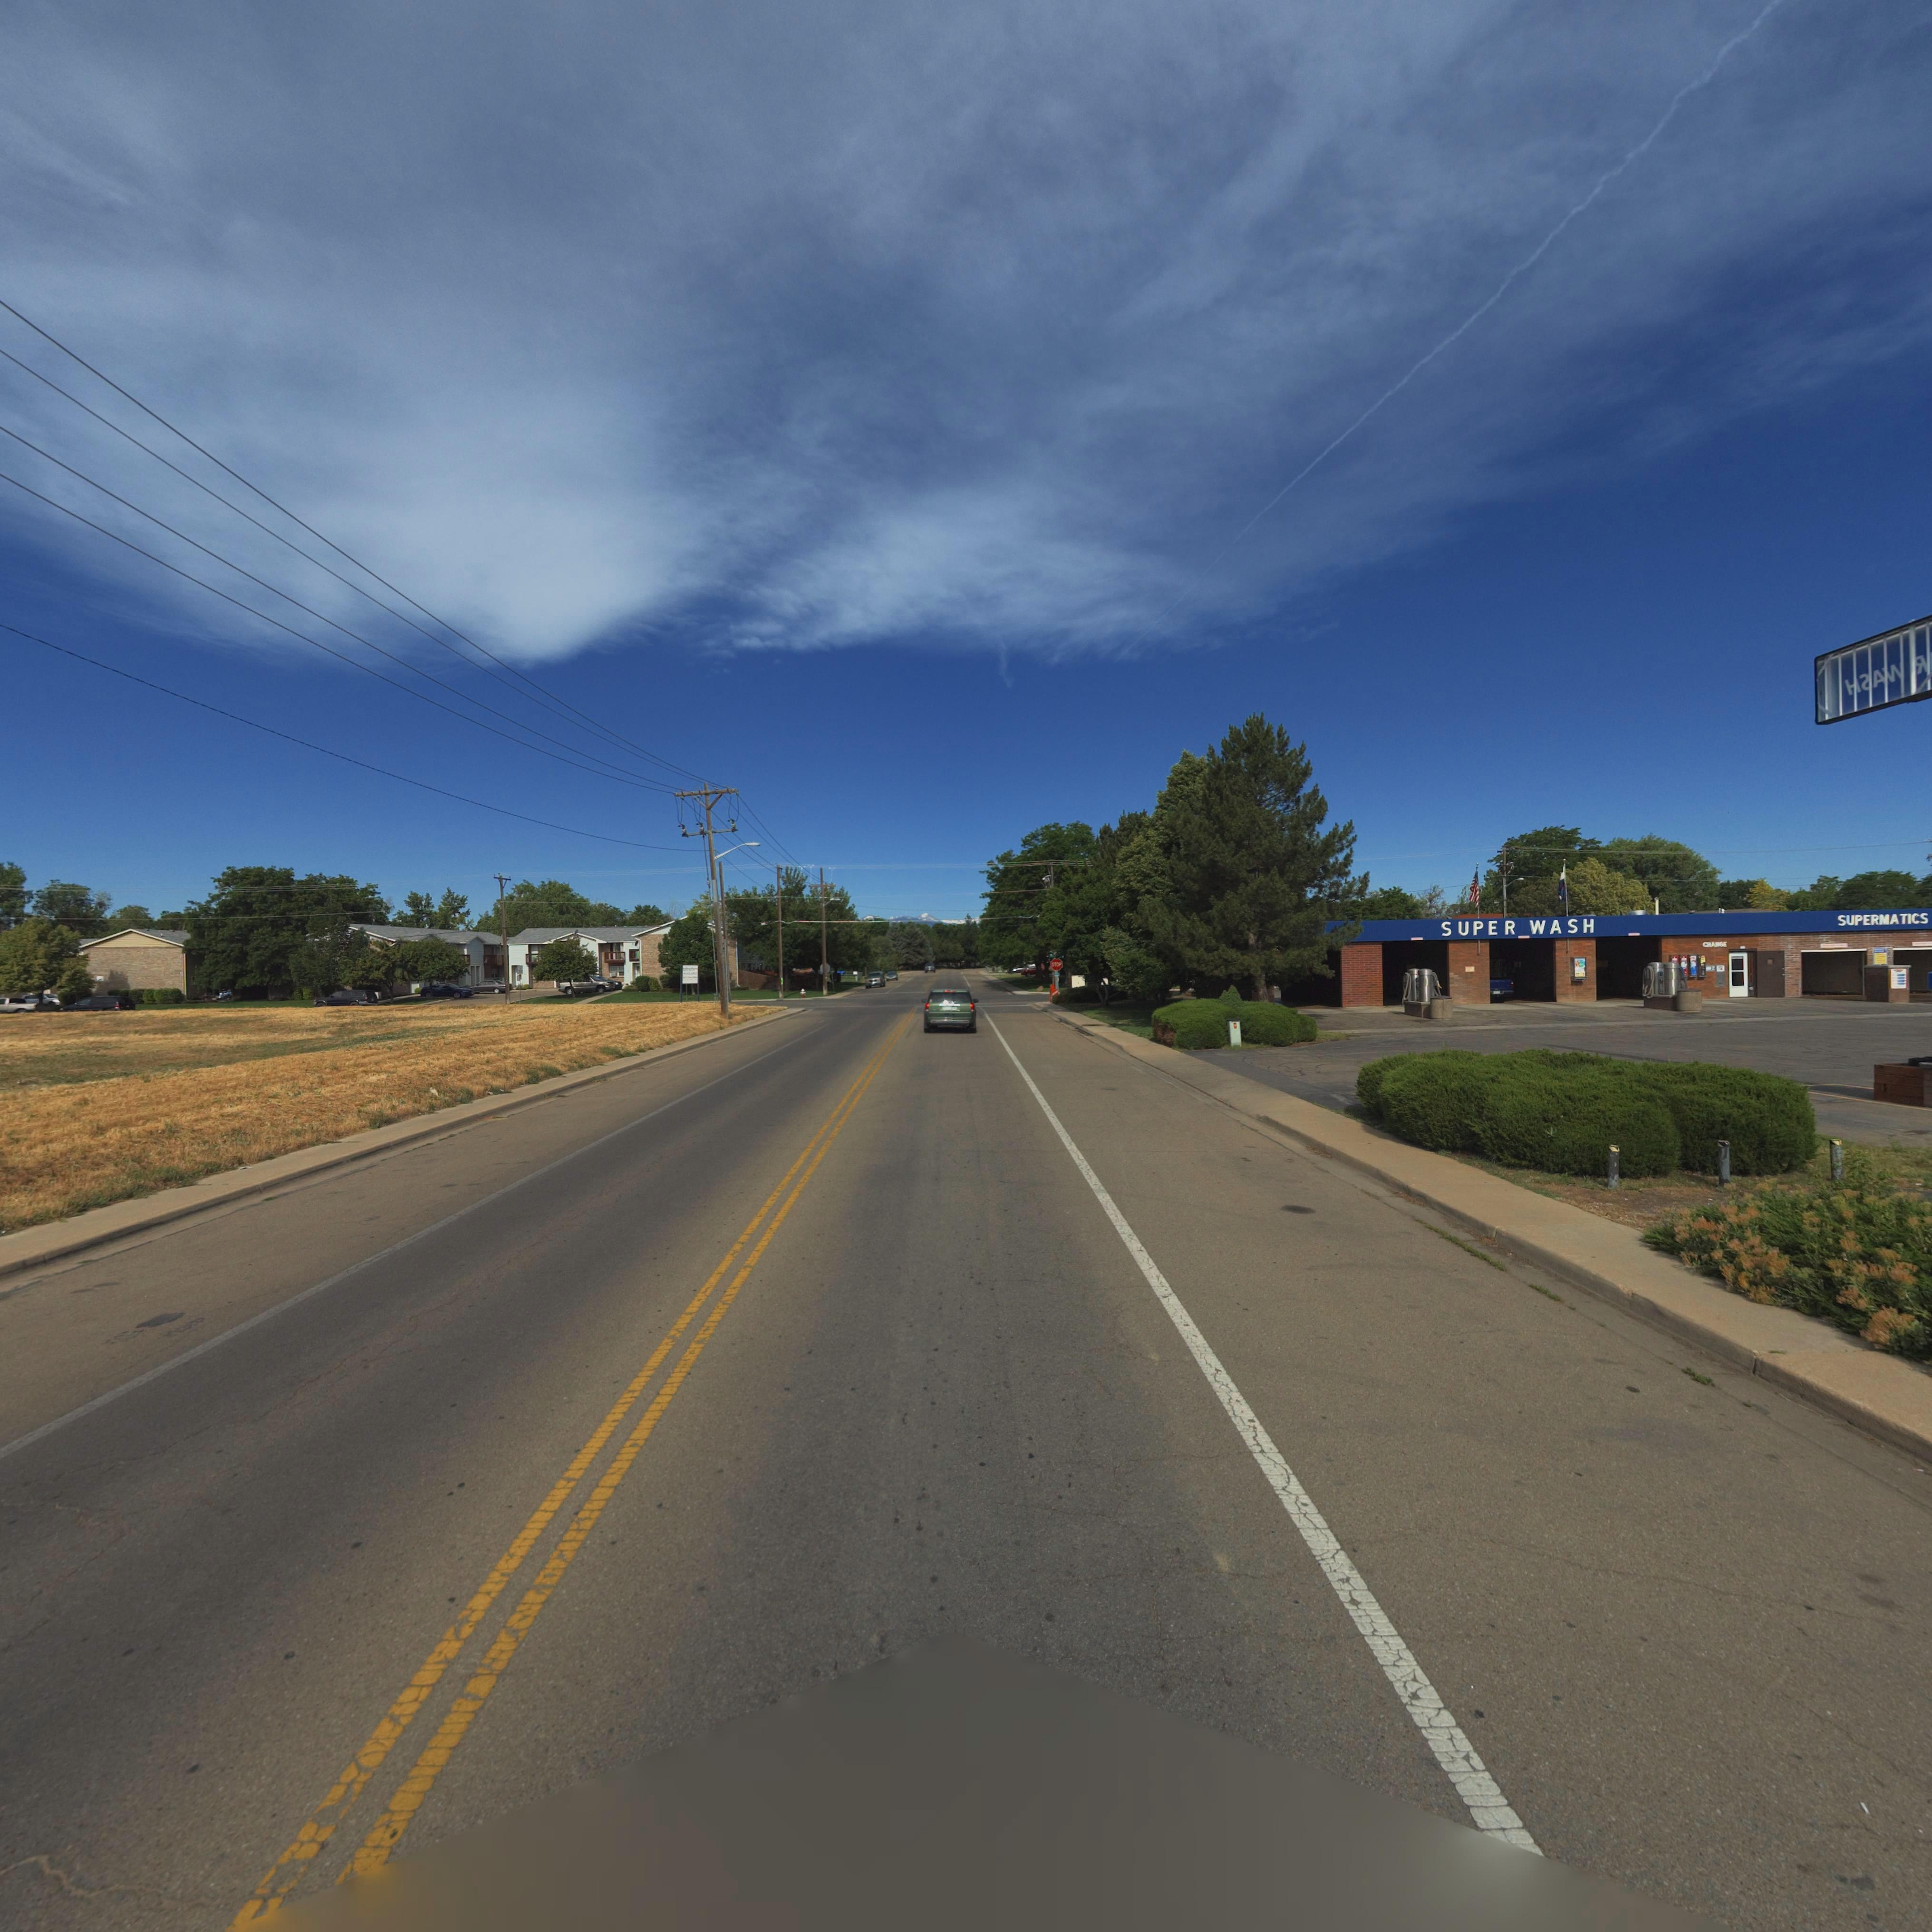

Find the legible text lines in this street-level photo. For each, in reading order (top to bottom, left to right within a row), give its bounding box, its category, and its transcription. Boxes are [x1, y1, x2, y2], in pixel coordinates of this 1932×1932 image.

[1440, 918, 1594, 937] BusinessName: SUPER WASH